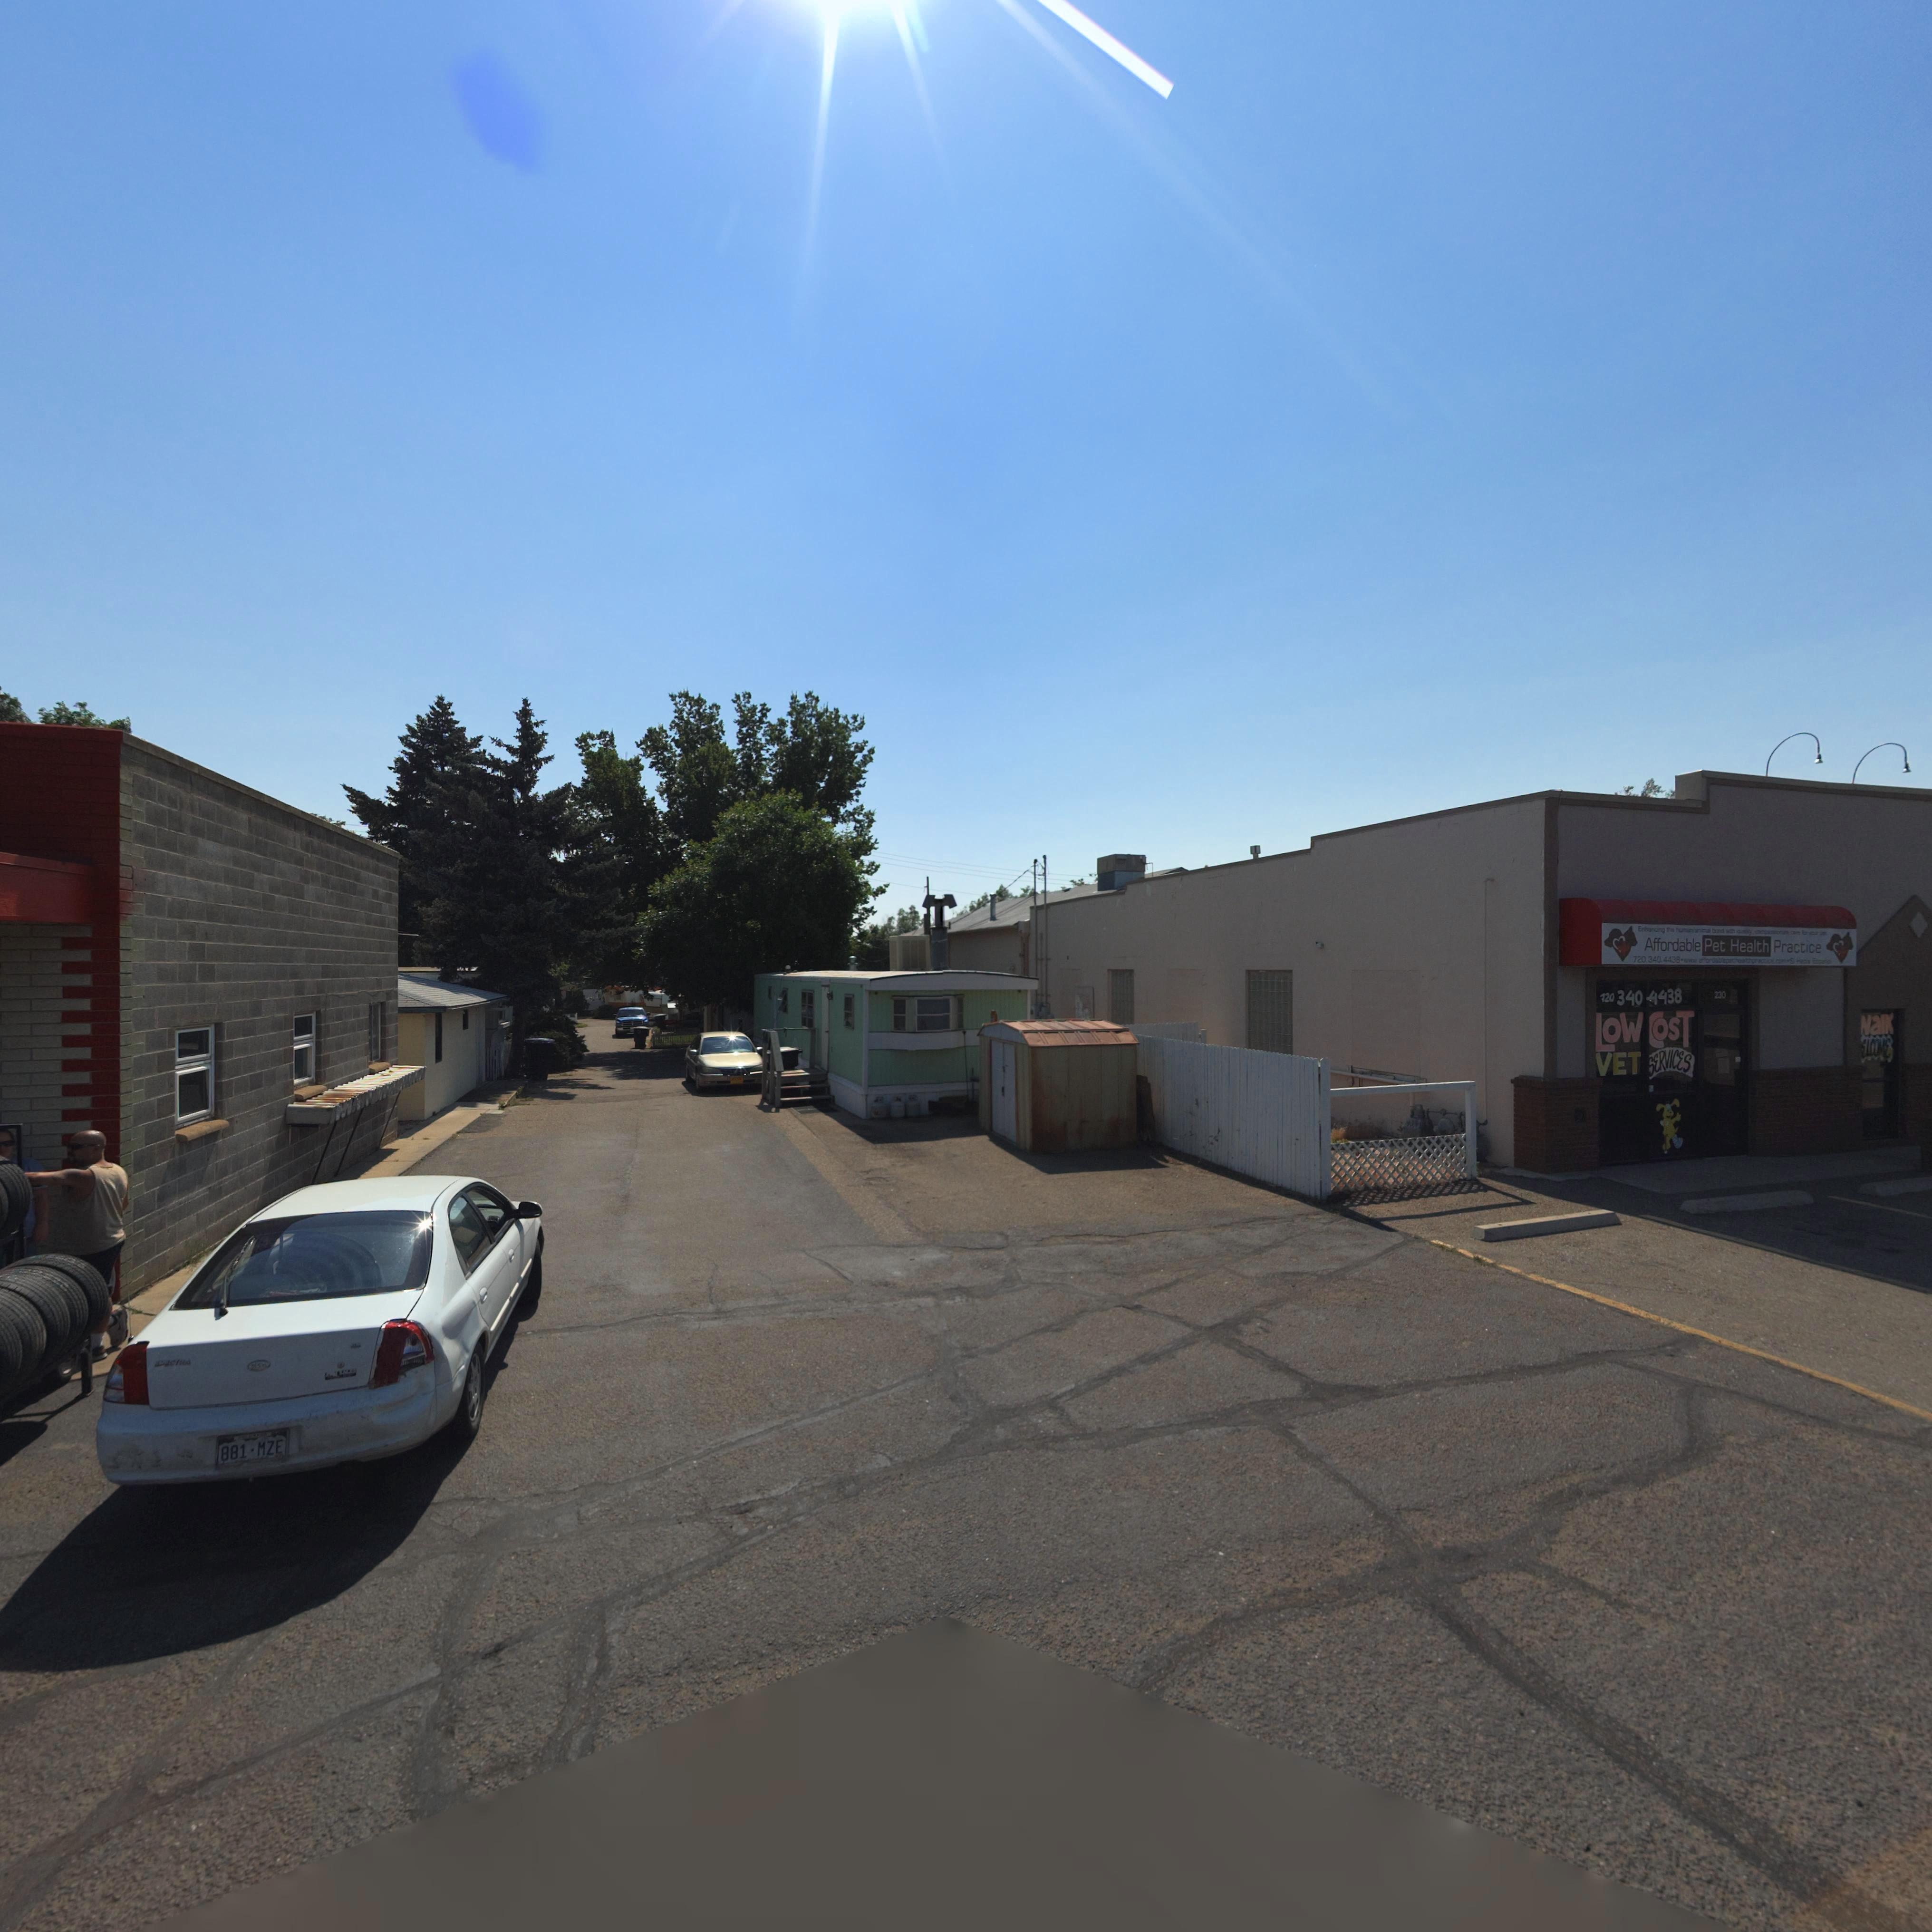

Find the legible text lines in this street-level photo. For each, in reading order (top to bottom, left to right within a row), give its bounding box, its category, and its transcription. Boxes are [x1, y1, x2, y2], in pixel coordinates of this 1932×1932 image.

[1643, 937, 1822, 954] BusinessName: Affordable Pet Health Practice
[1714, 991, 1726, 999] StreetNumber: 230